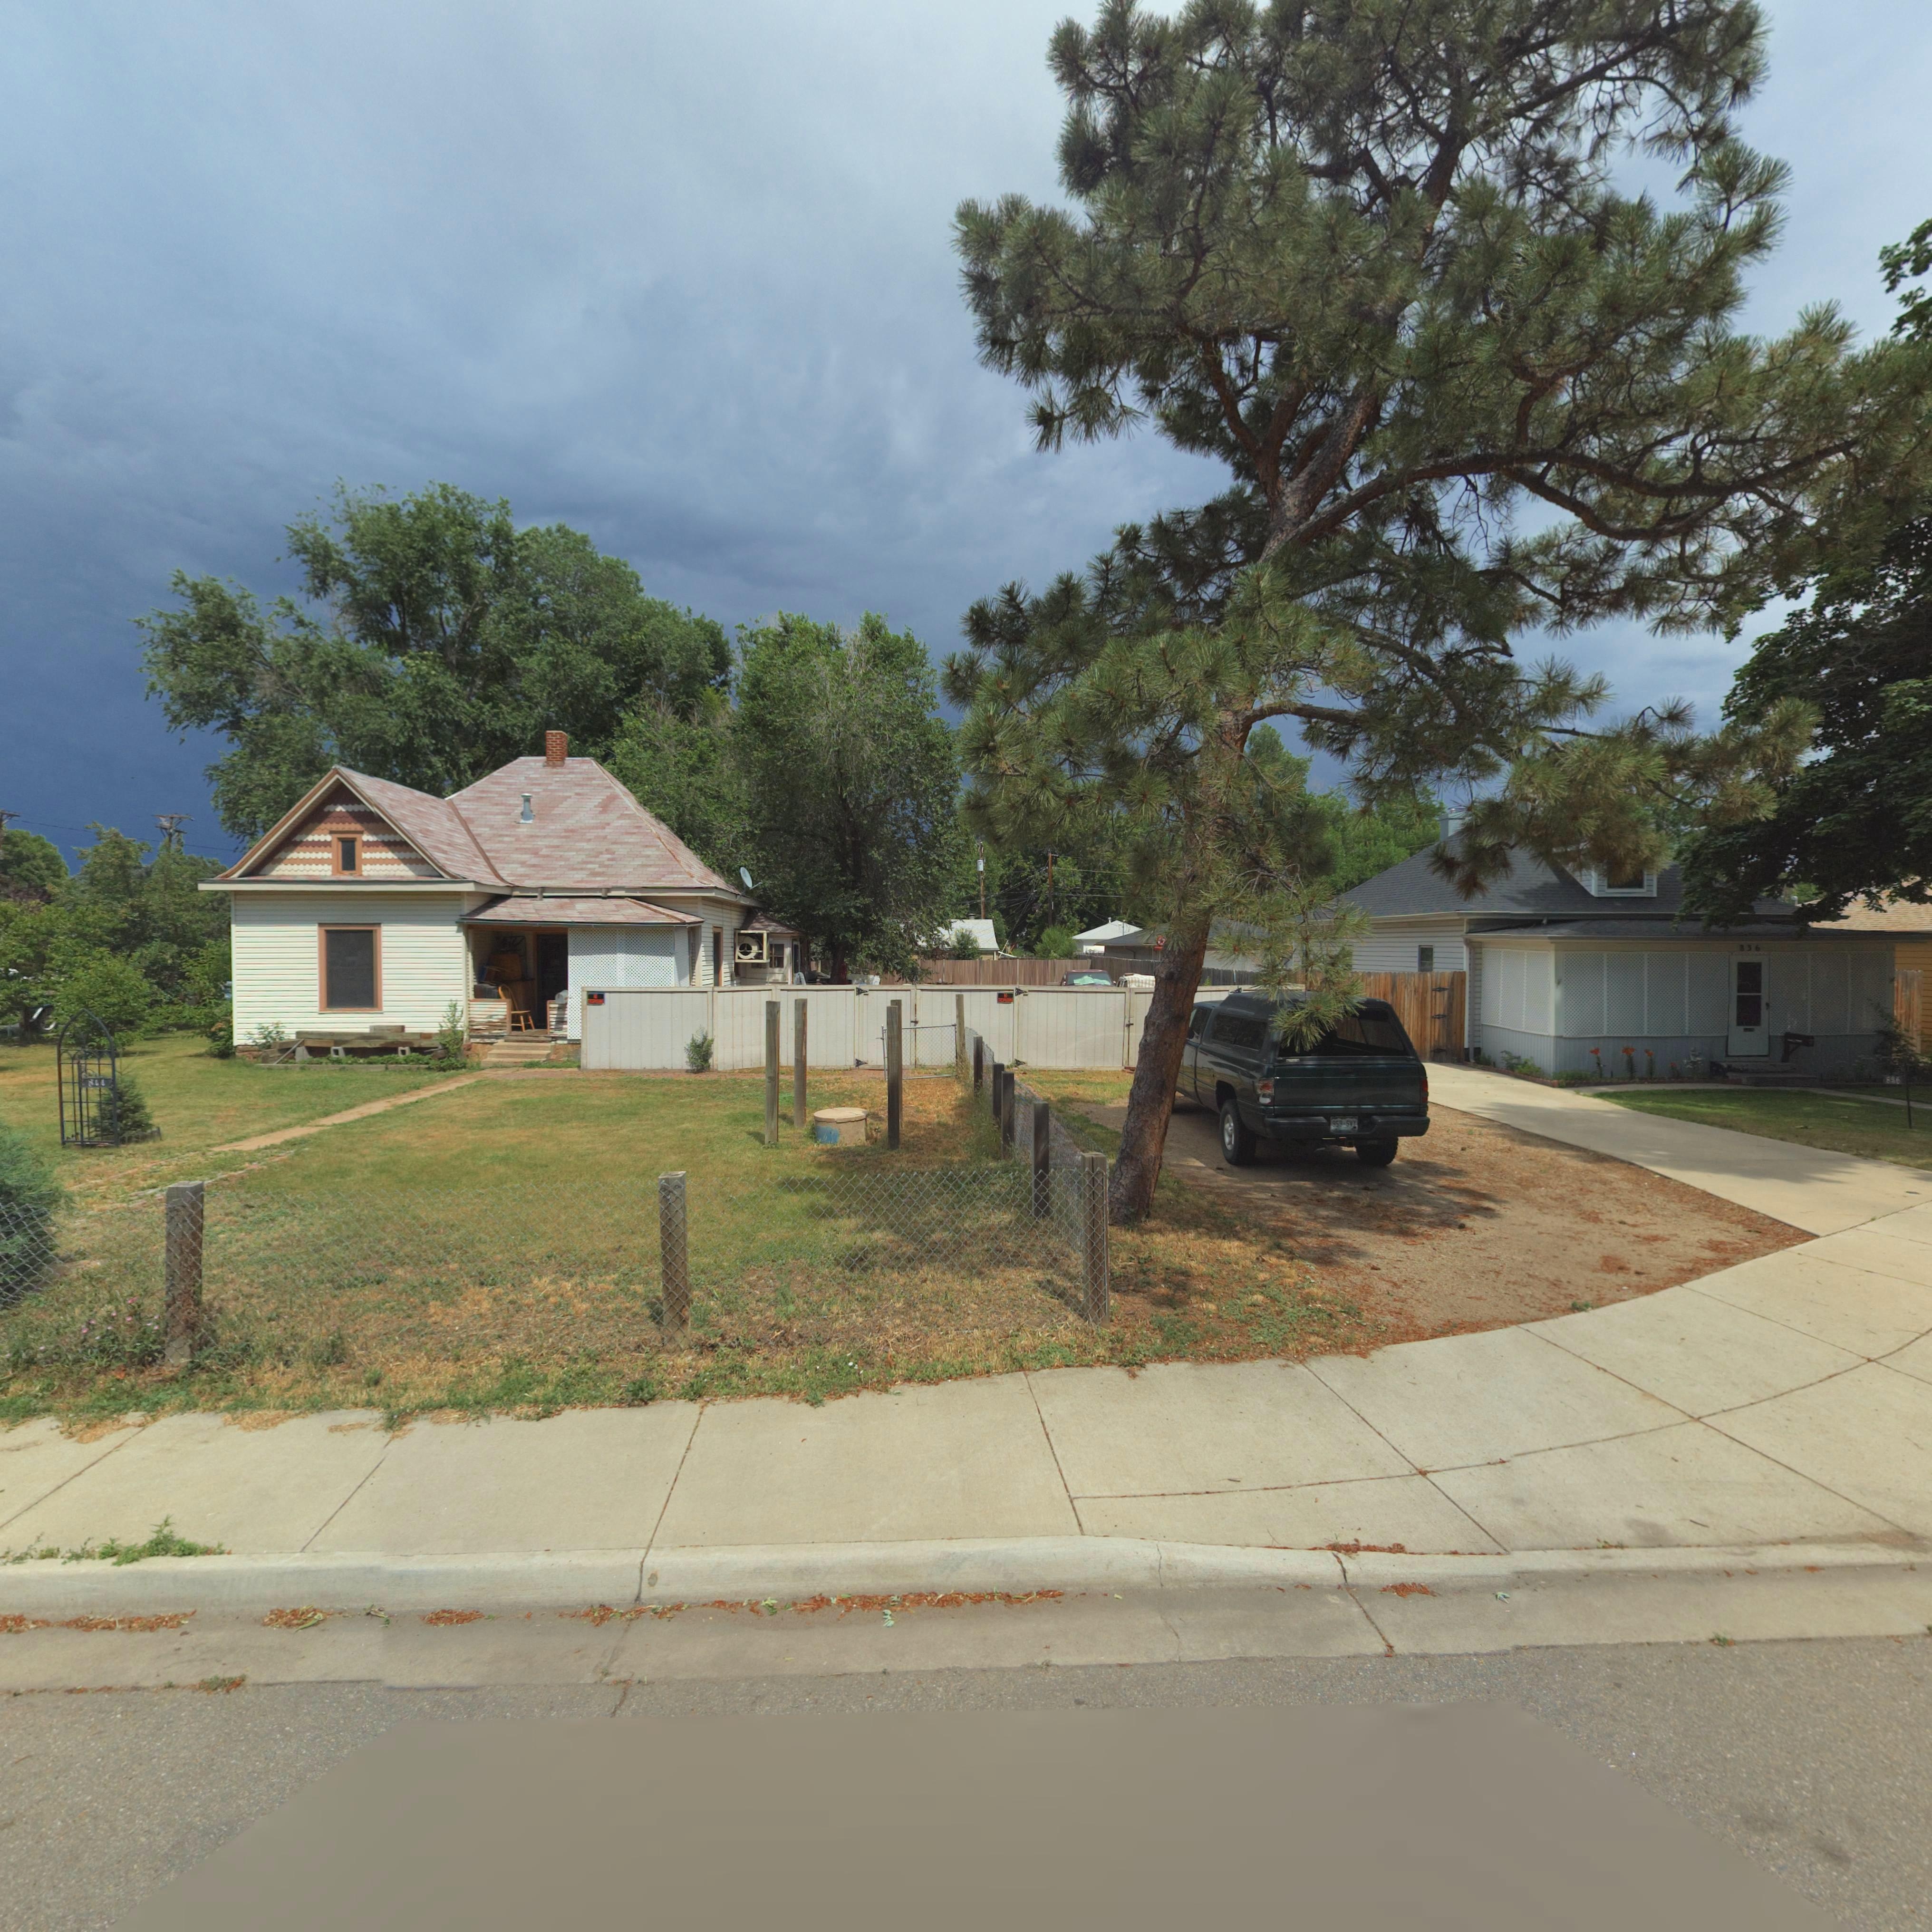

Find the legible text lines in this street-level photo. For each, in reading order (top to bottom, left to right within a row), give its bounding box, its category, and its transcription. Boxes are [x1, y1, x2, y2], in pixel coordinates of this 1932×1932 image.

[1738, 944, 1761, 952] StreetNumber: 836
[87, 1078, 106, 1087] StreetNumber: 844
[1886, 1075, 1900, 1084] StreetNumber: 836